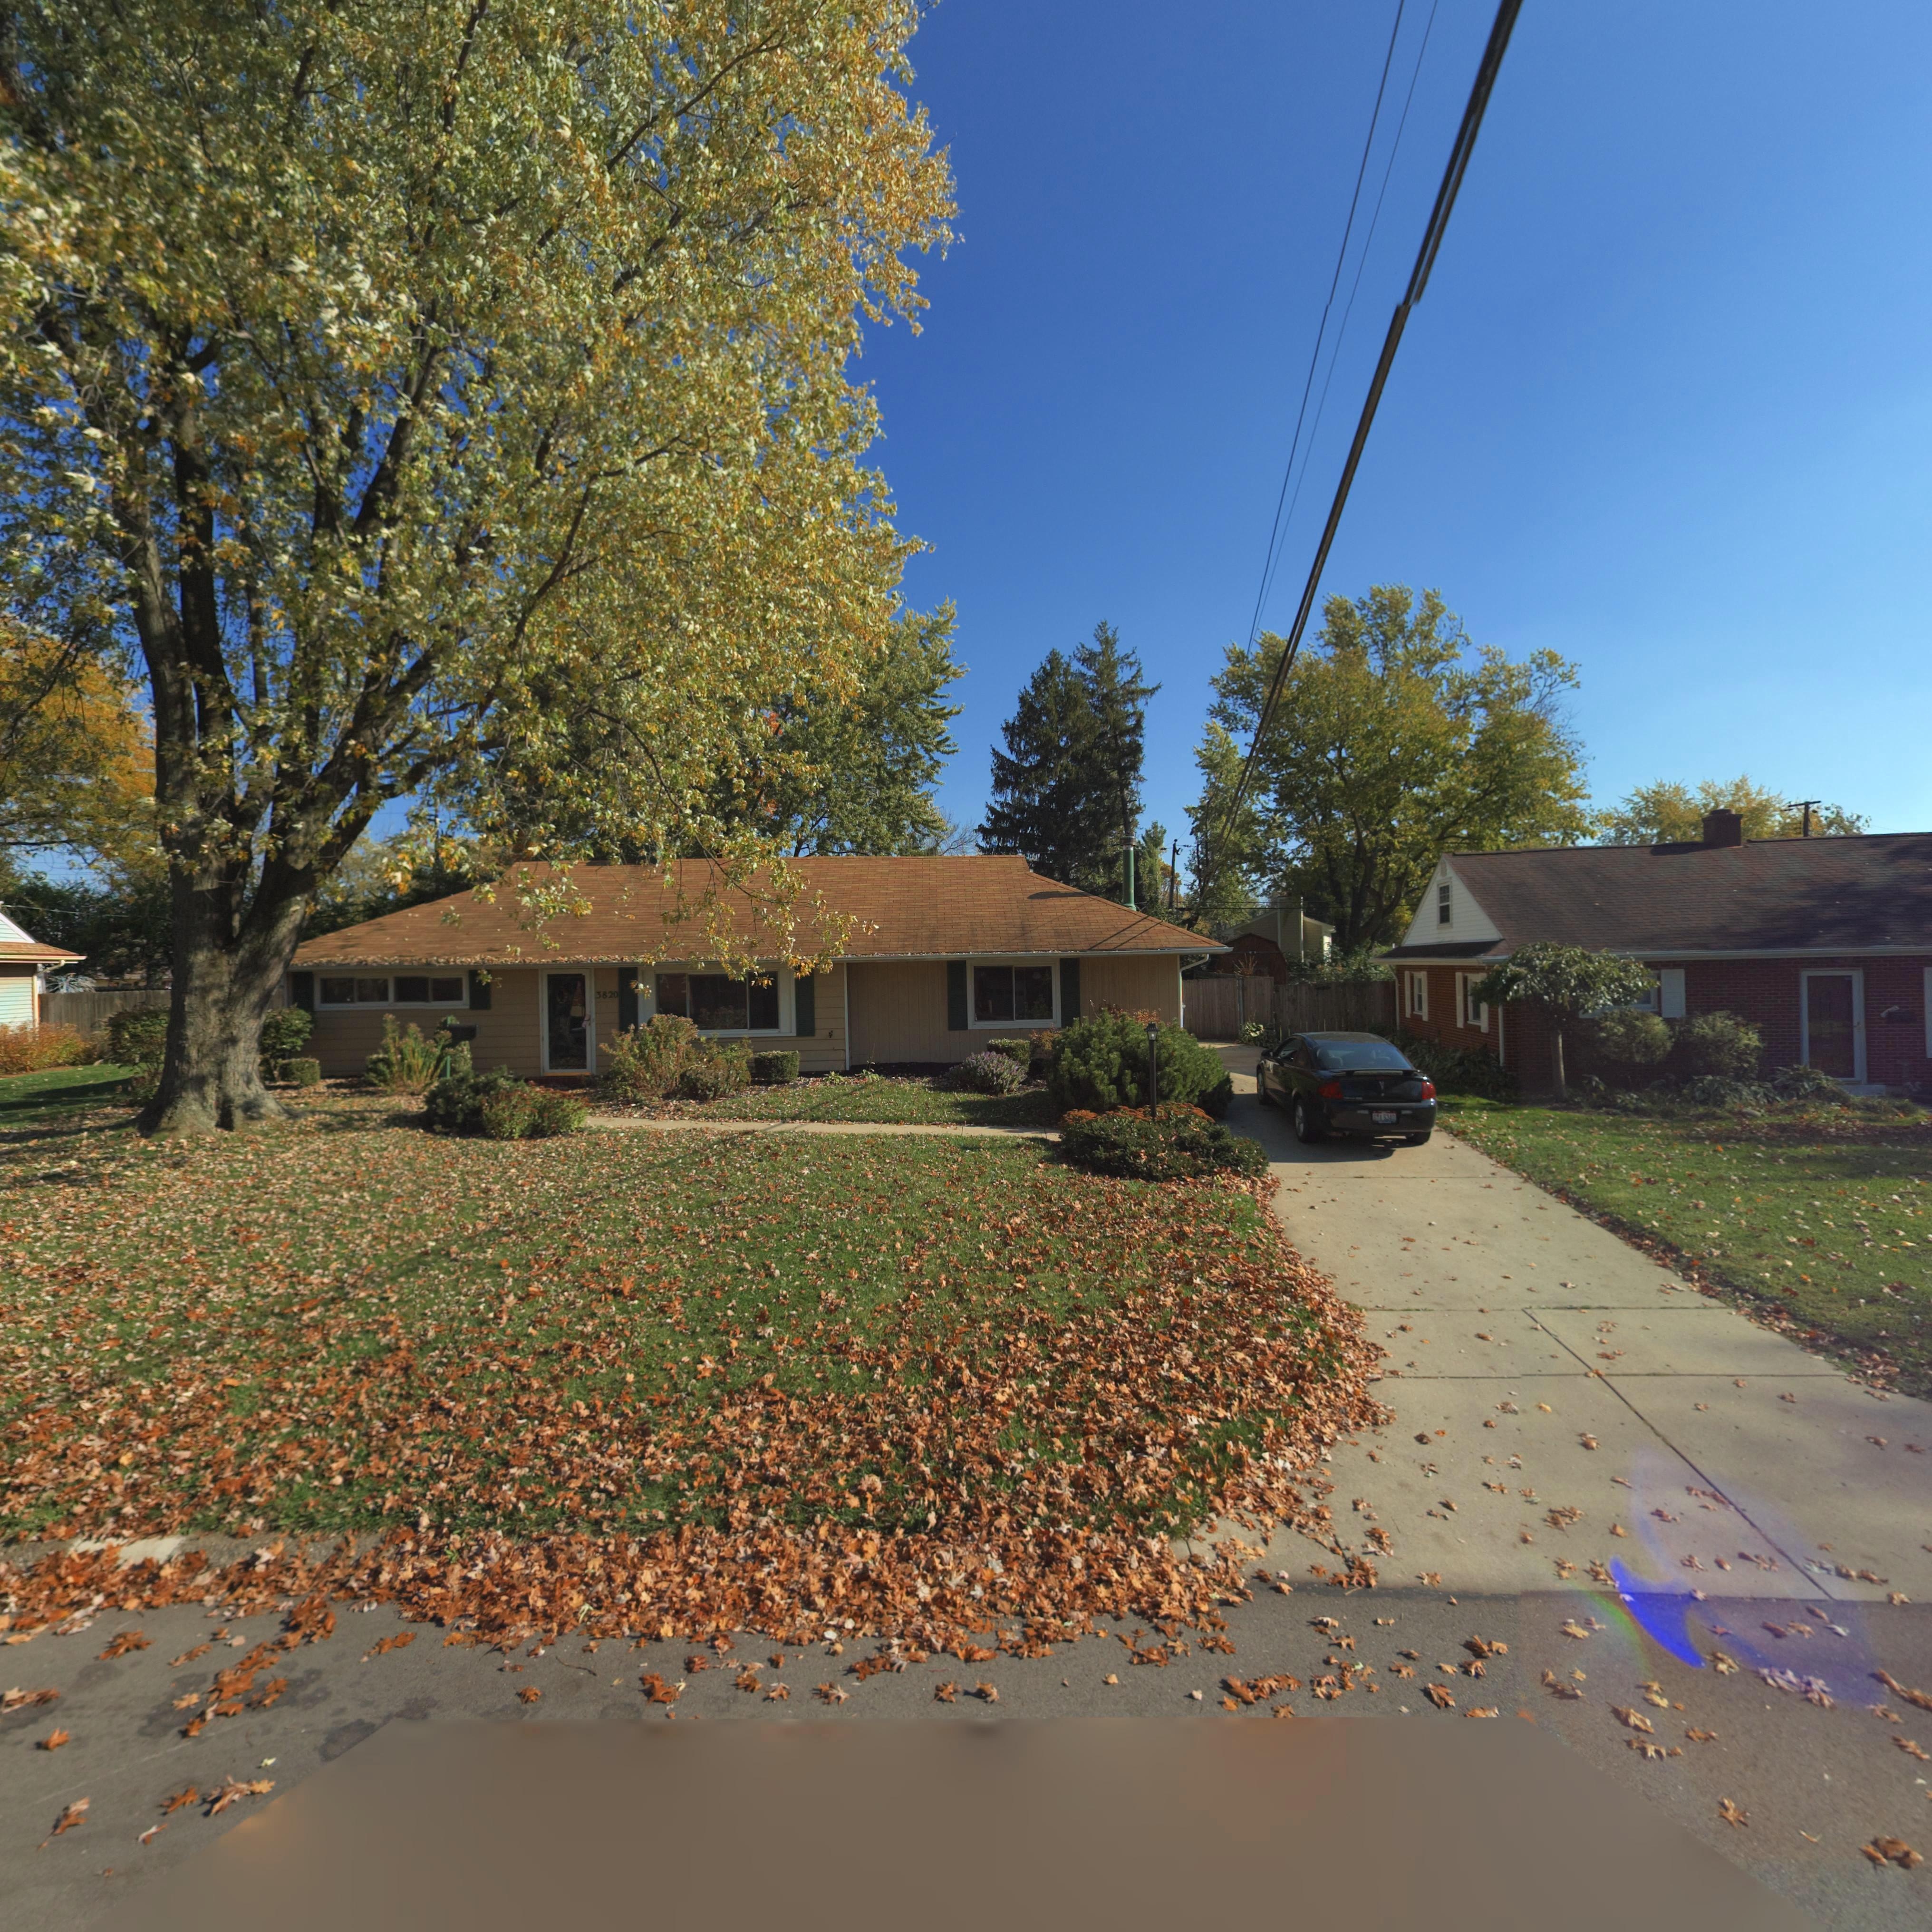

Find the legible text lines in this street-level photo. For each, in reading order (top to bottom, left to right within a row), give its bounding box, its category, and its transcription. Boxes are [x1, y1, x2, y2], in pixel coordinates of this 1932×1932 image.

[595, 990, 618, 1000] StreetNumber: 3820